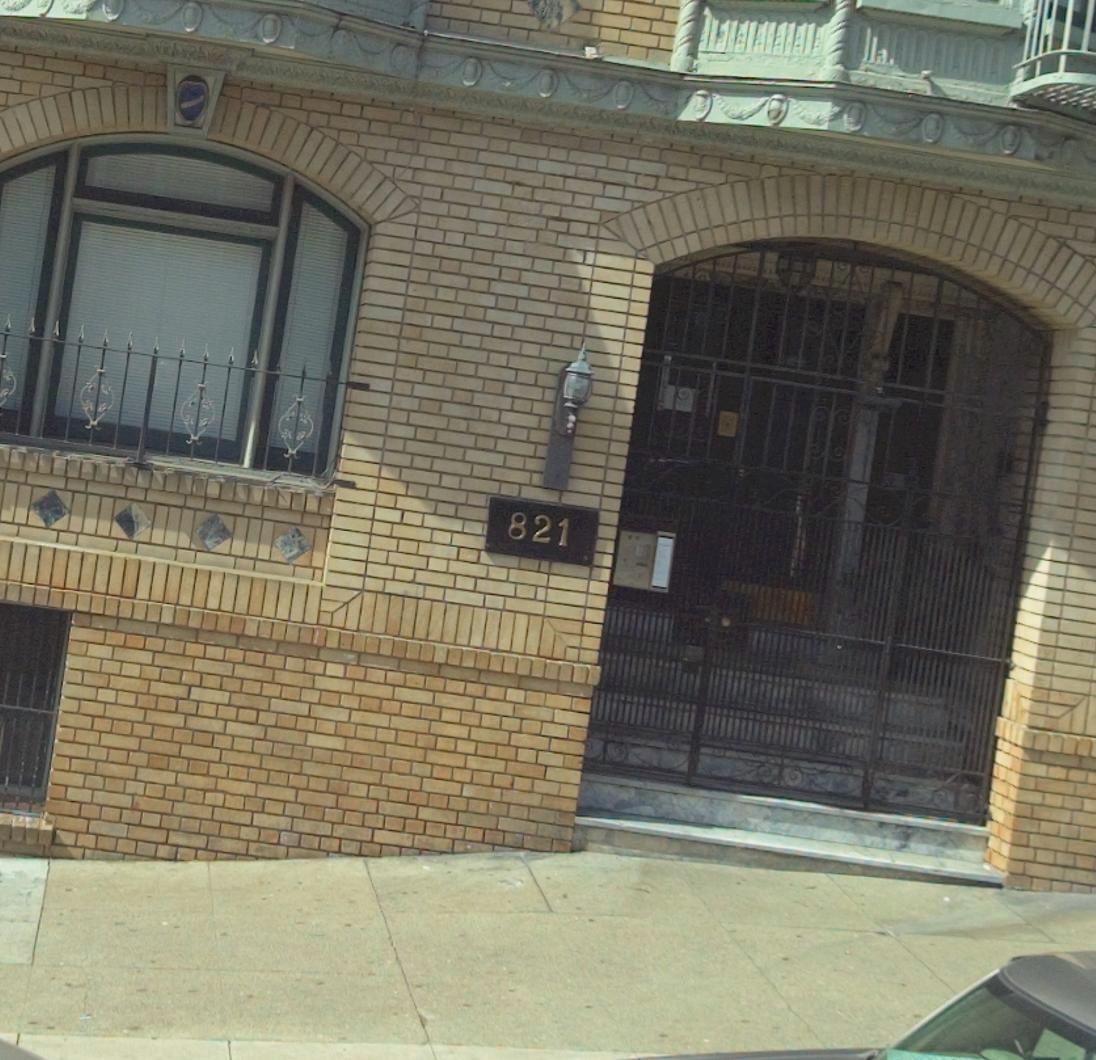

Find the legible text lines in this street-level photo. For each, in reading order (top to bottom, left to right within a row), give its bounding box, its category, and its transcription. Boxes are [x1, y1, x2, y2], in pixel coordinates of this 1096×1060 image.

[503, 505, 578, 554] StreetNumber: 821